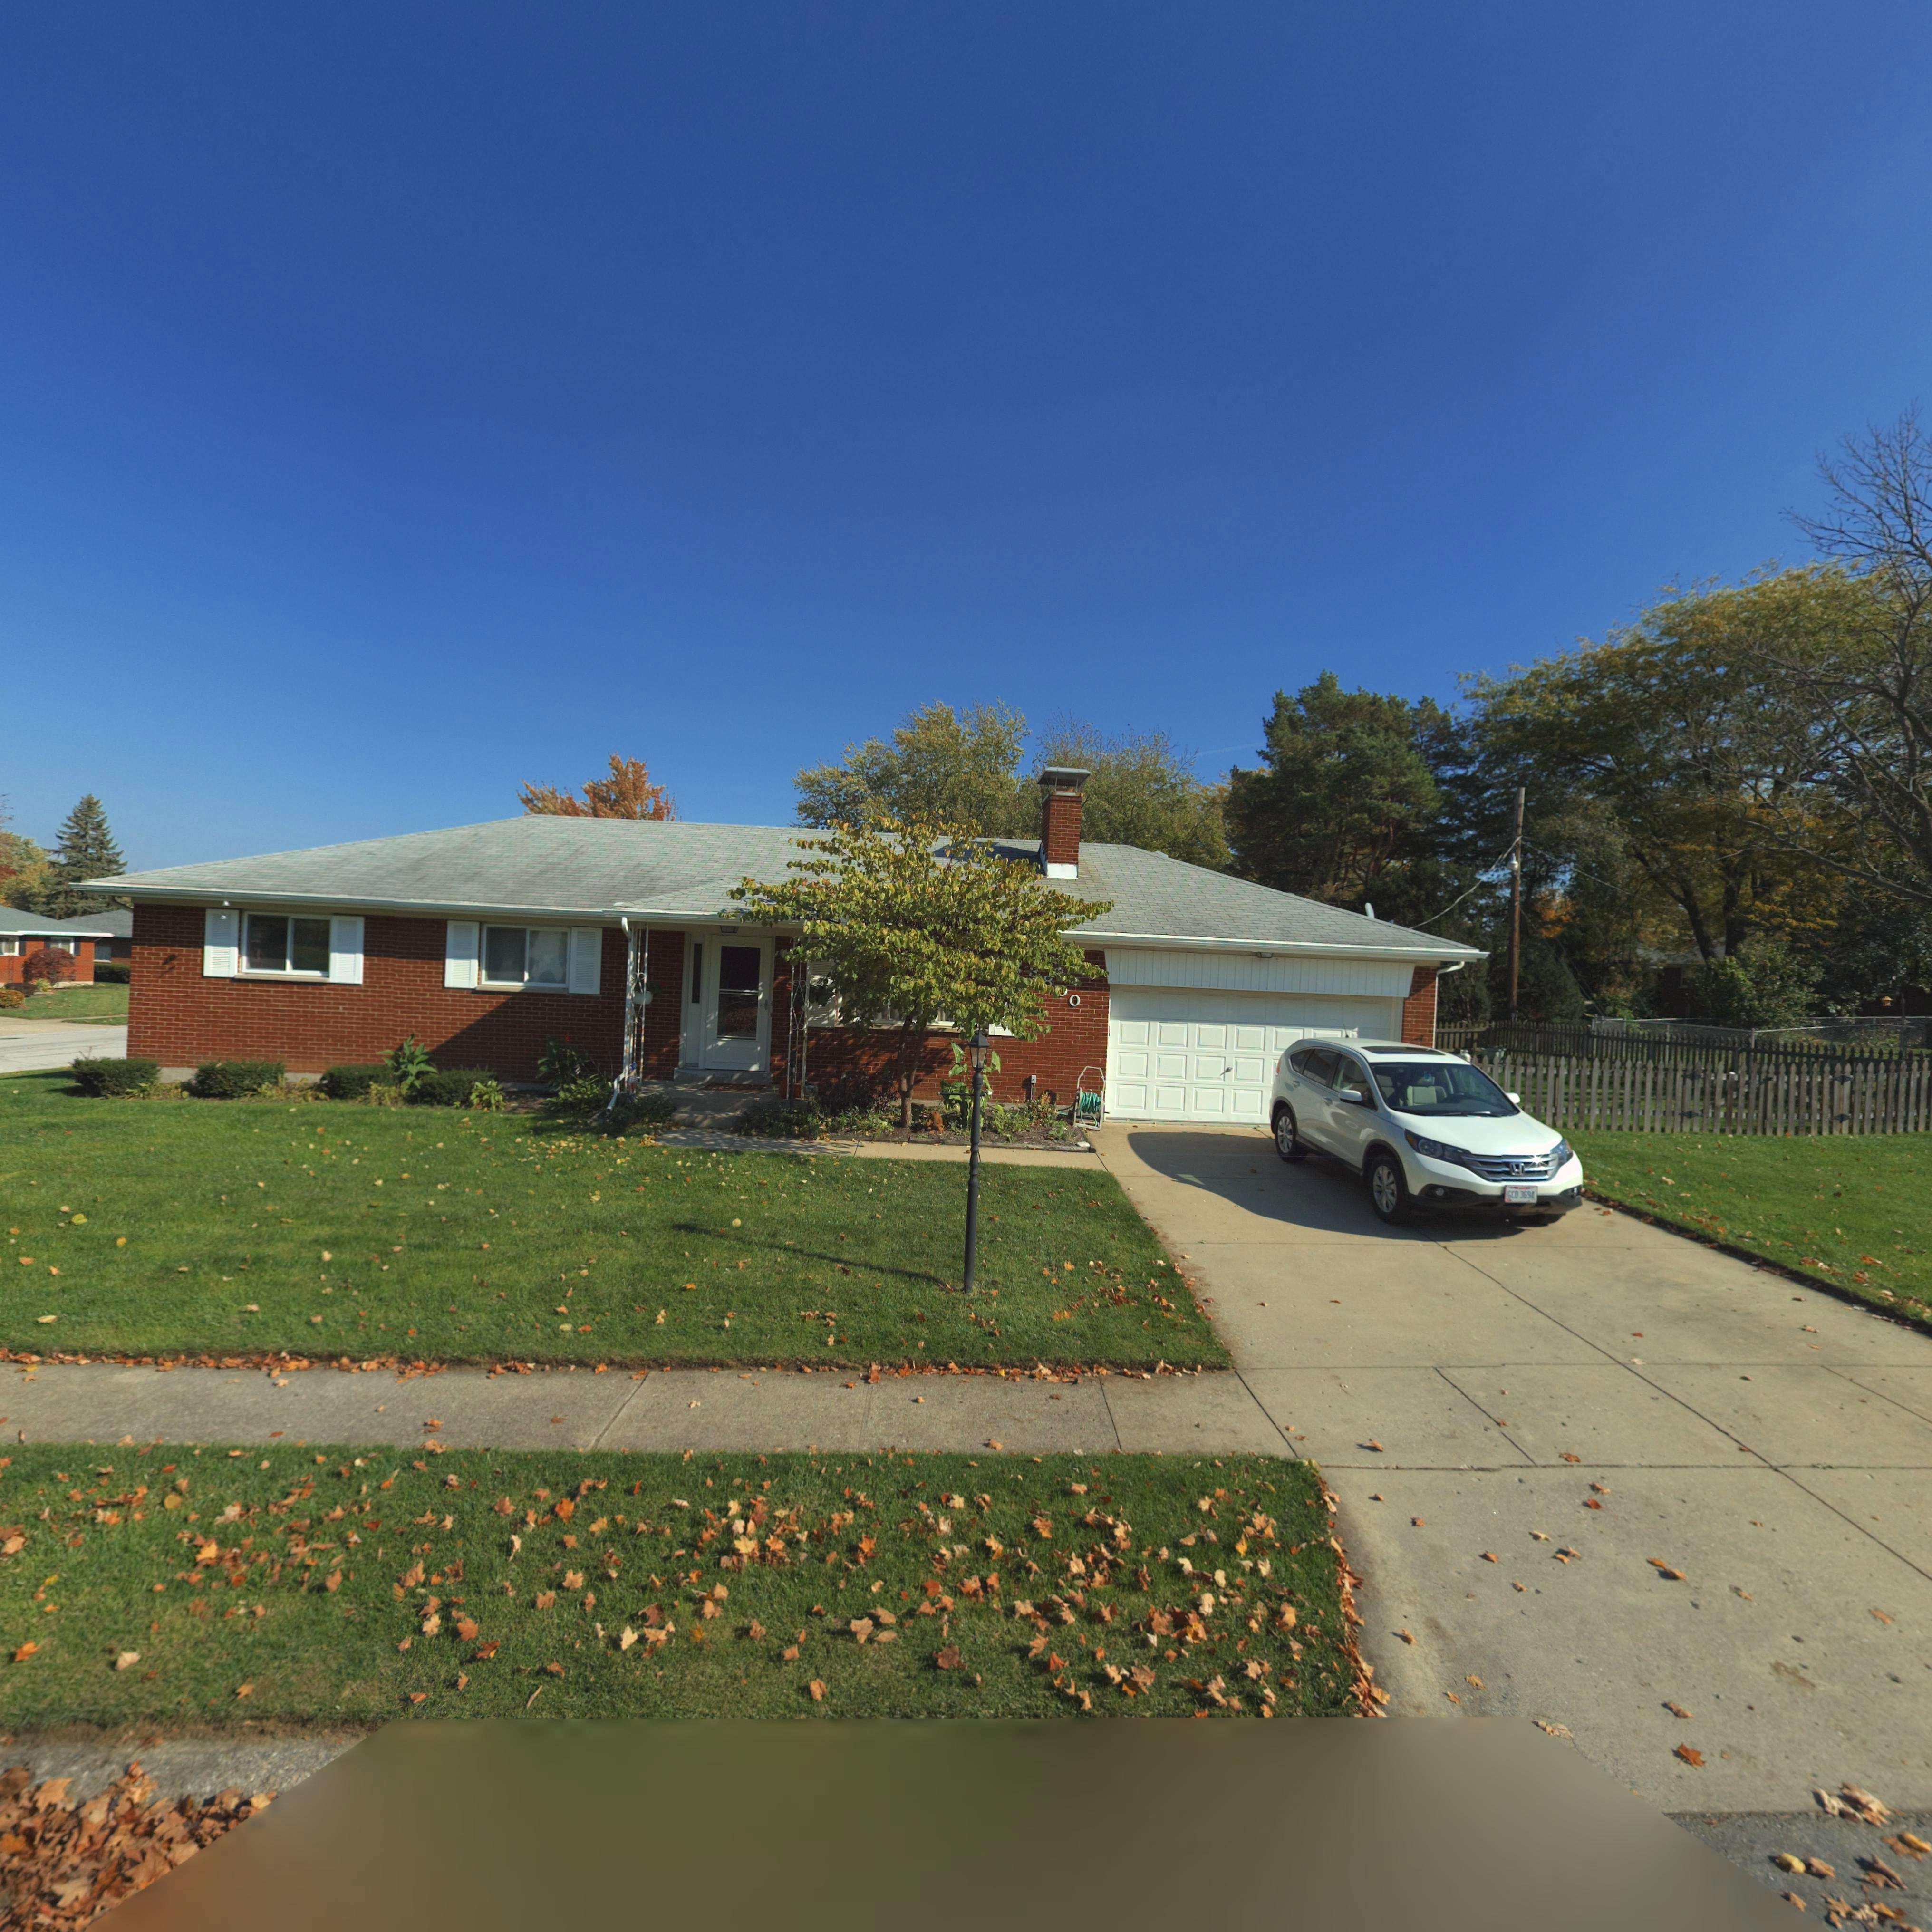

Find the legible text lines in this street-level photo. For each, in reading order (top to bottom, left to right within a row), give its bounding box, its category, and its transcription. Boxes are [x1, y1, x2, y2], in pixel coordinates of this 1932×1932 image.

[1068, 994, 1082, 1007] StreetNumber: 0
[1506, 1188, 1536, 1201] None: *CD 369*